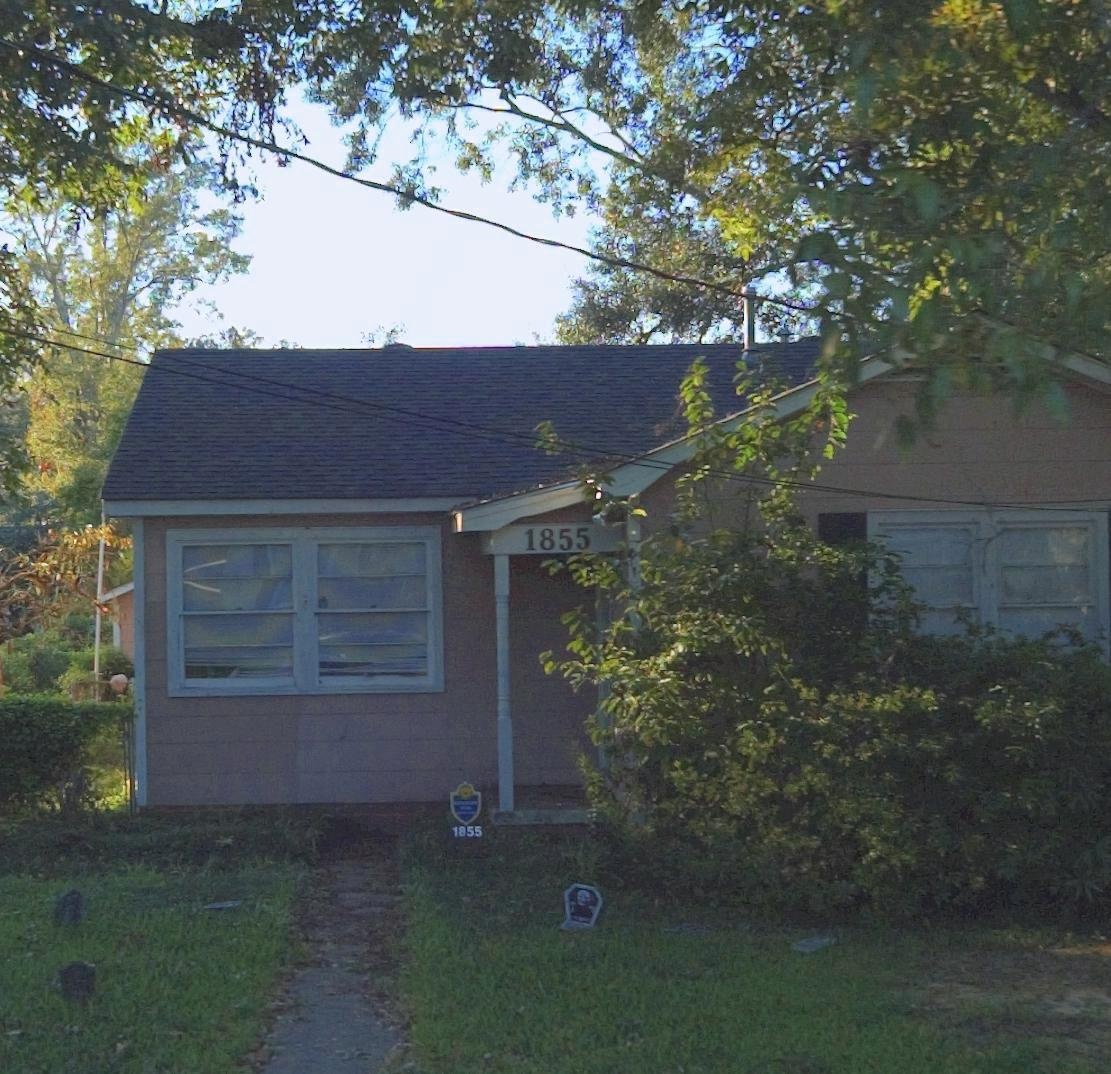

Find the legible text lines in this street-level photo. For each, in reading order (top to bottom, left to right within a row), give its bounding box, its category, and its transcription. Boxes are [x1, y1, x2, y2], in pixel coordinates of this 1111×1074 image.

[523, 526, 592, 552] StreetNumber: 1855
[451, 824, 484, 839] StreetNumber: 1855